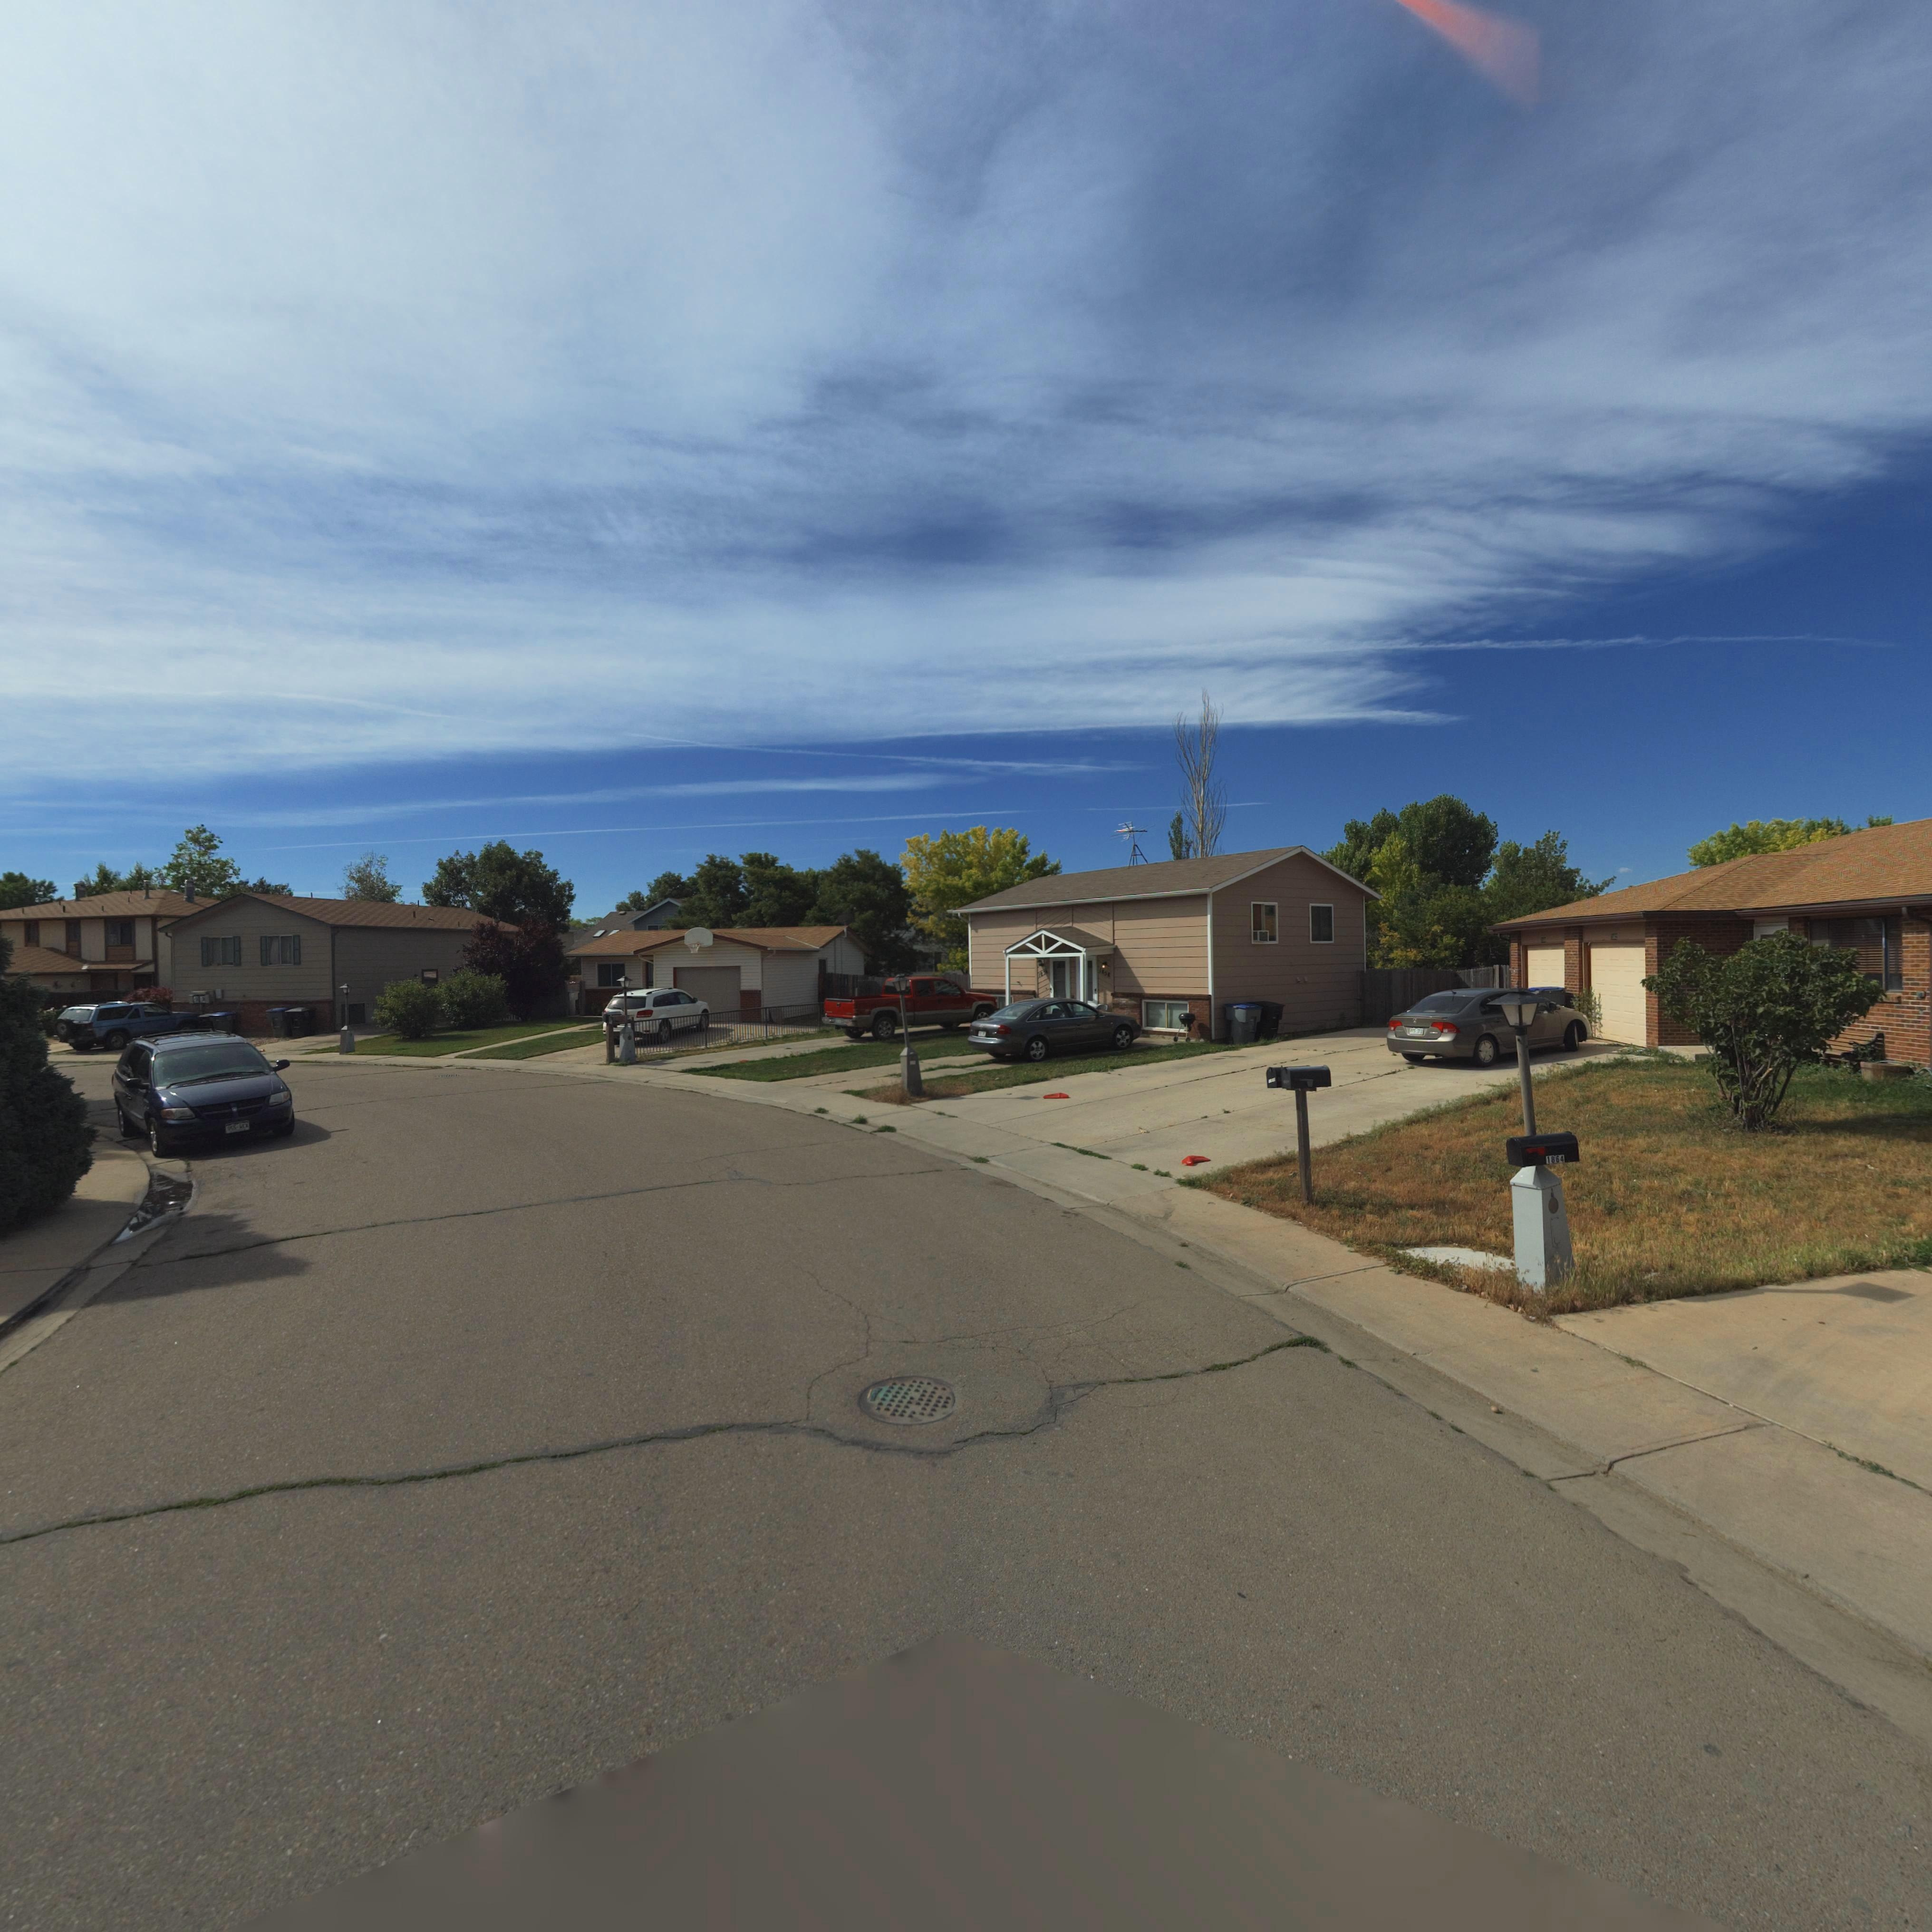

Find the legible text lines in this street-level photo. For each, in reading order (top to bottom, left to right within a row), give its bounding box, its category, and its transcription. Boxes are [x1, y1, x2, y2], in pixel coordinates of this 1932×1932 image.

[1038, 969, 1048, 978] StreetNumber: 1***
[1099, 967, 1110, 977] StreetNumber: 1***
[1546, 1155, 1564, 1163] StreetNumber: 1864